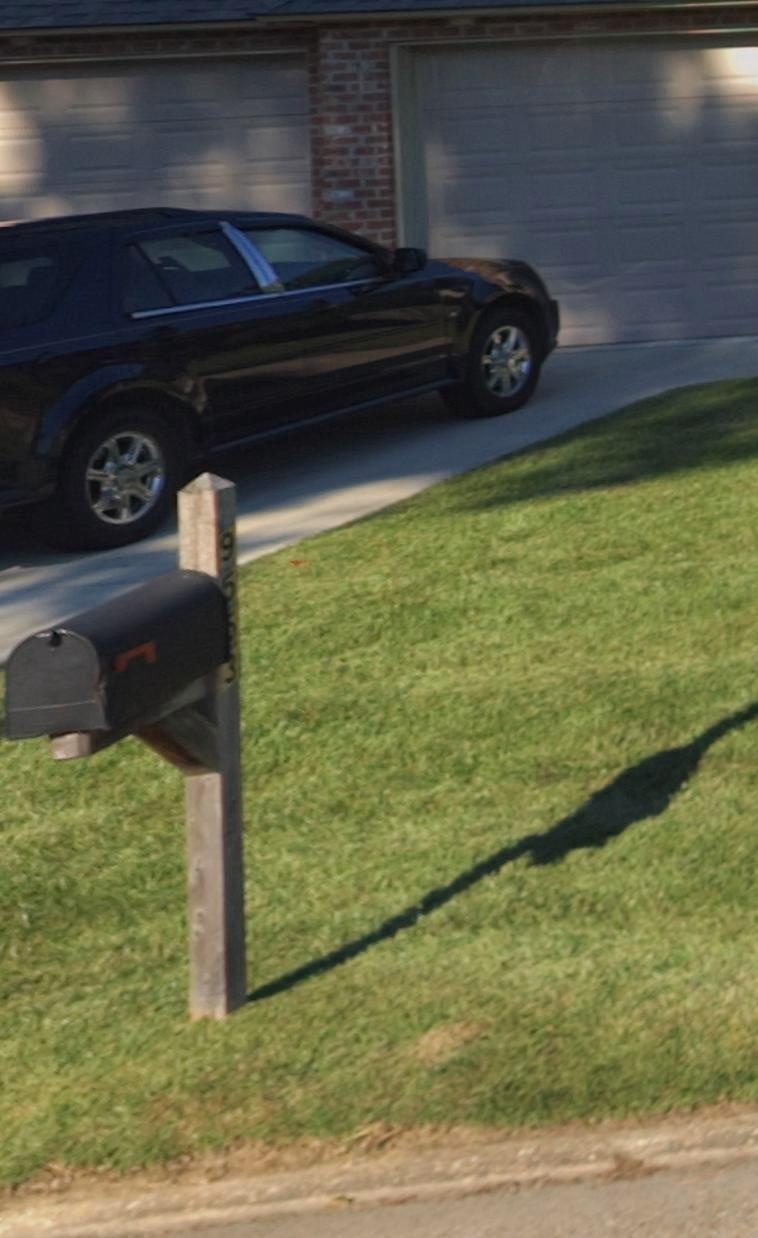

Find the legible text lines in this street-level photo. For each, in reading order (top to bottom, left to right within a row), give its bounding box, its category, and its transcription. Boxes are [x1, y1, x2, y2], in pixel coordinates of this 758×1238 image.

[219, 531, 238, 684] StreetNumber: 9553